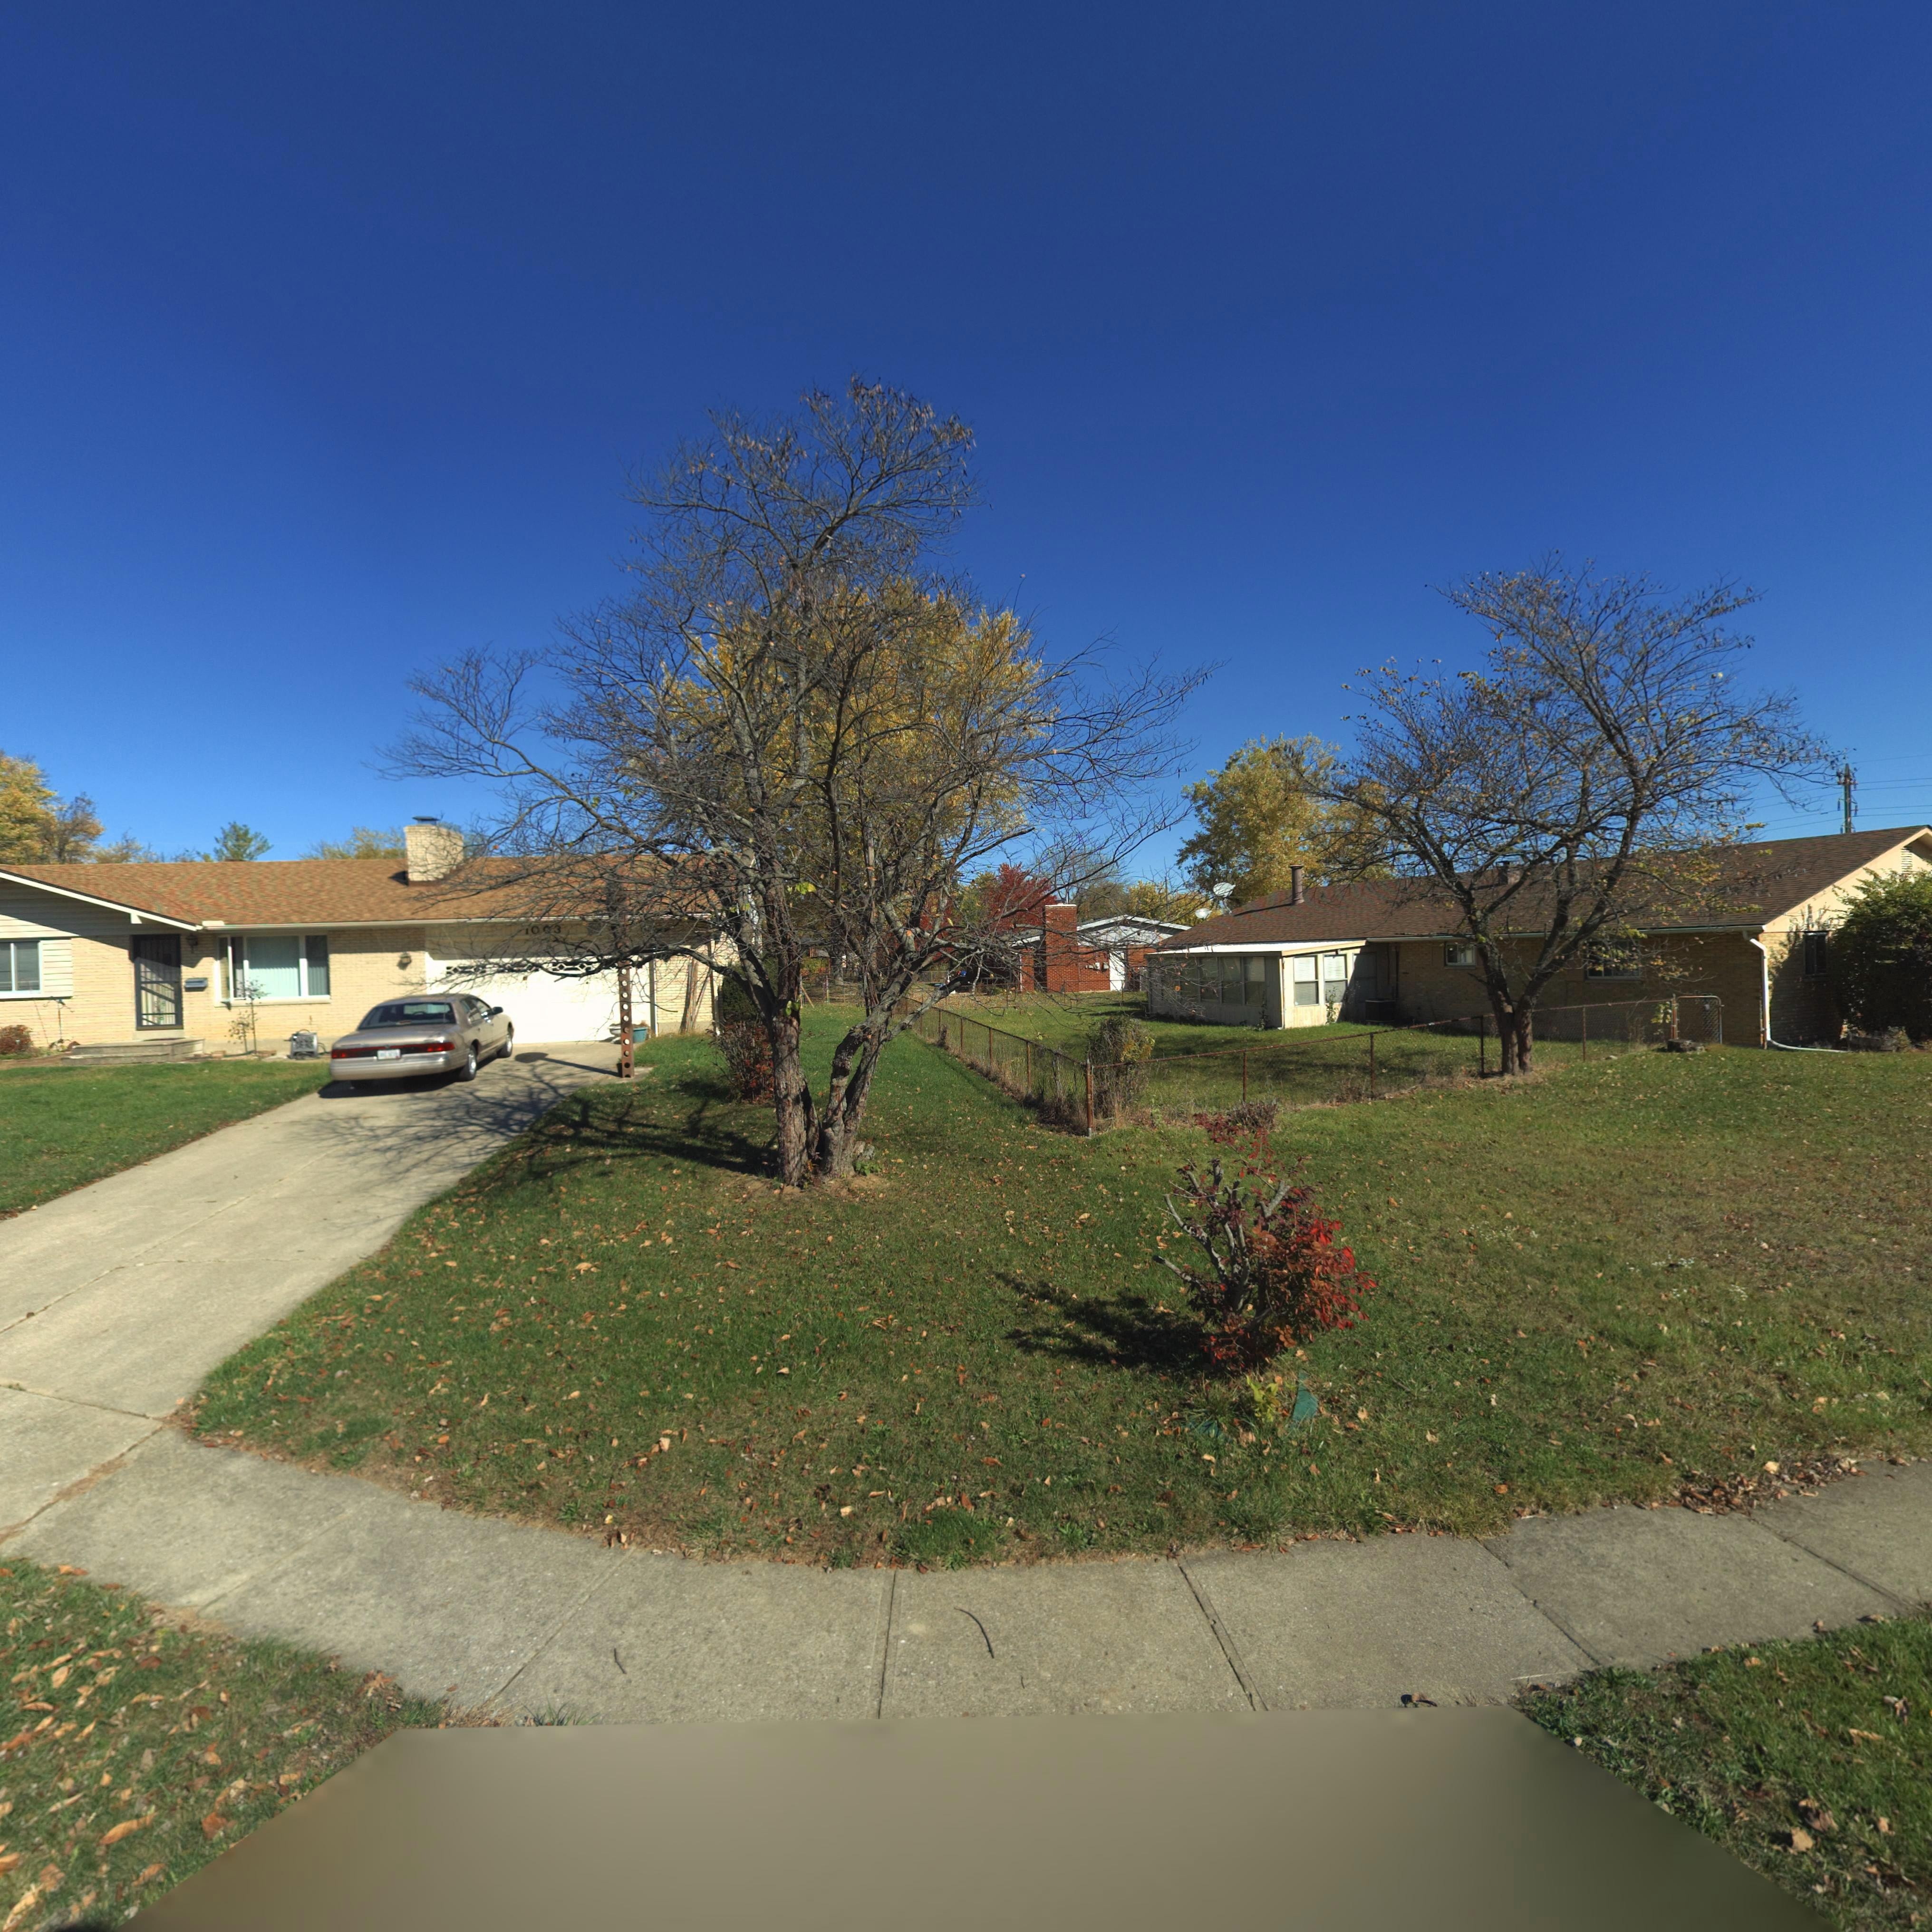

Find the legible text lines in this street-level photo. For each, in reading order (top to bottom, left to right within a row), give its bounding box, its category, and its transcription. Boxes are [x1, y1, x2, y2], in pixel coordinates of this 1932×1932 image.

[524, 924, 561, 935] StreetNumber: 1003